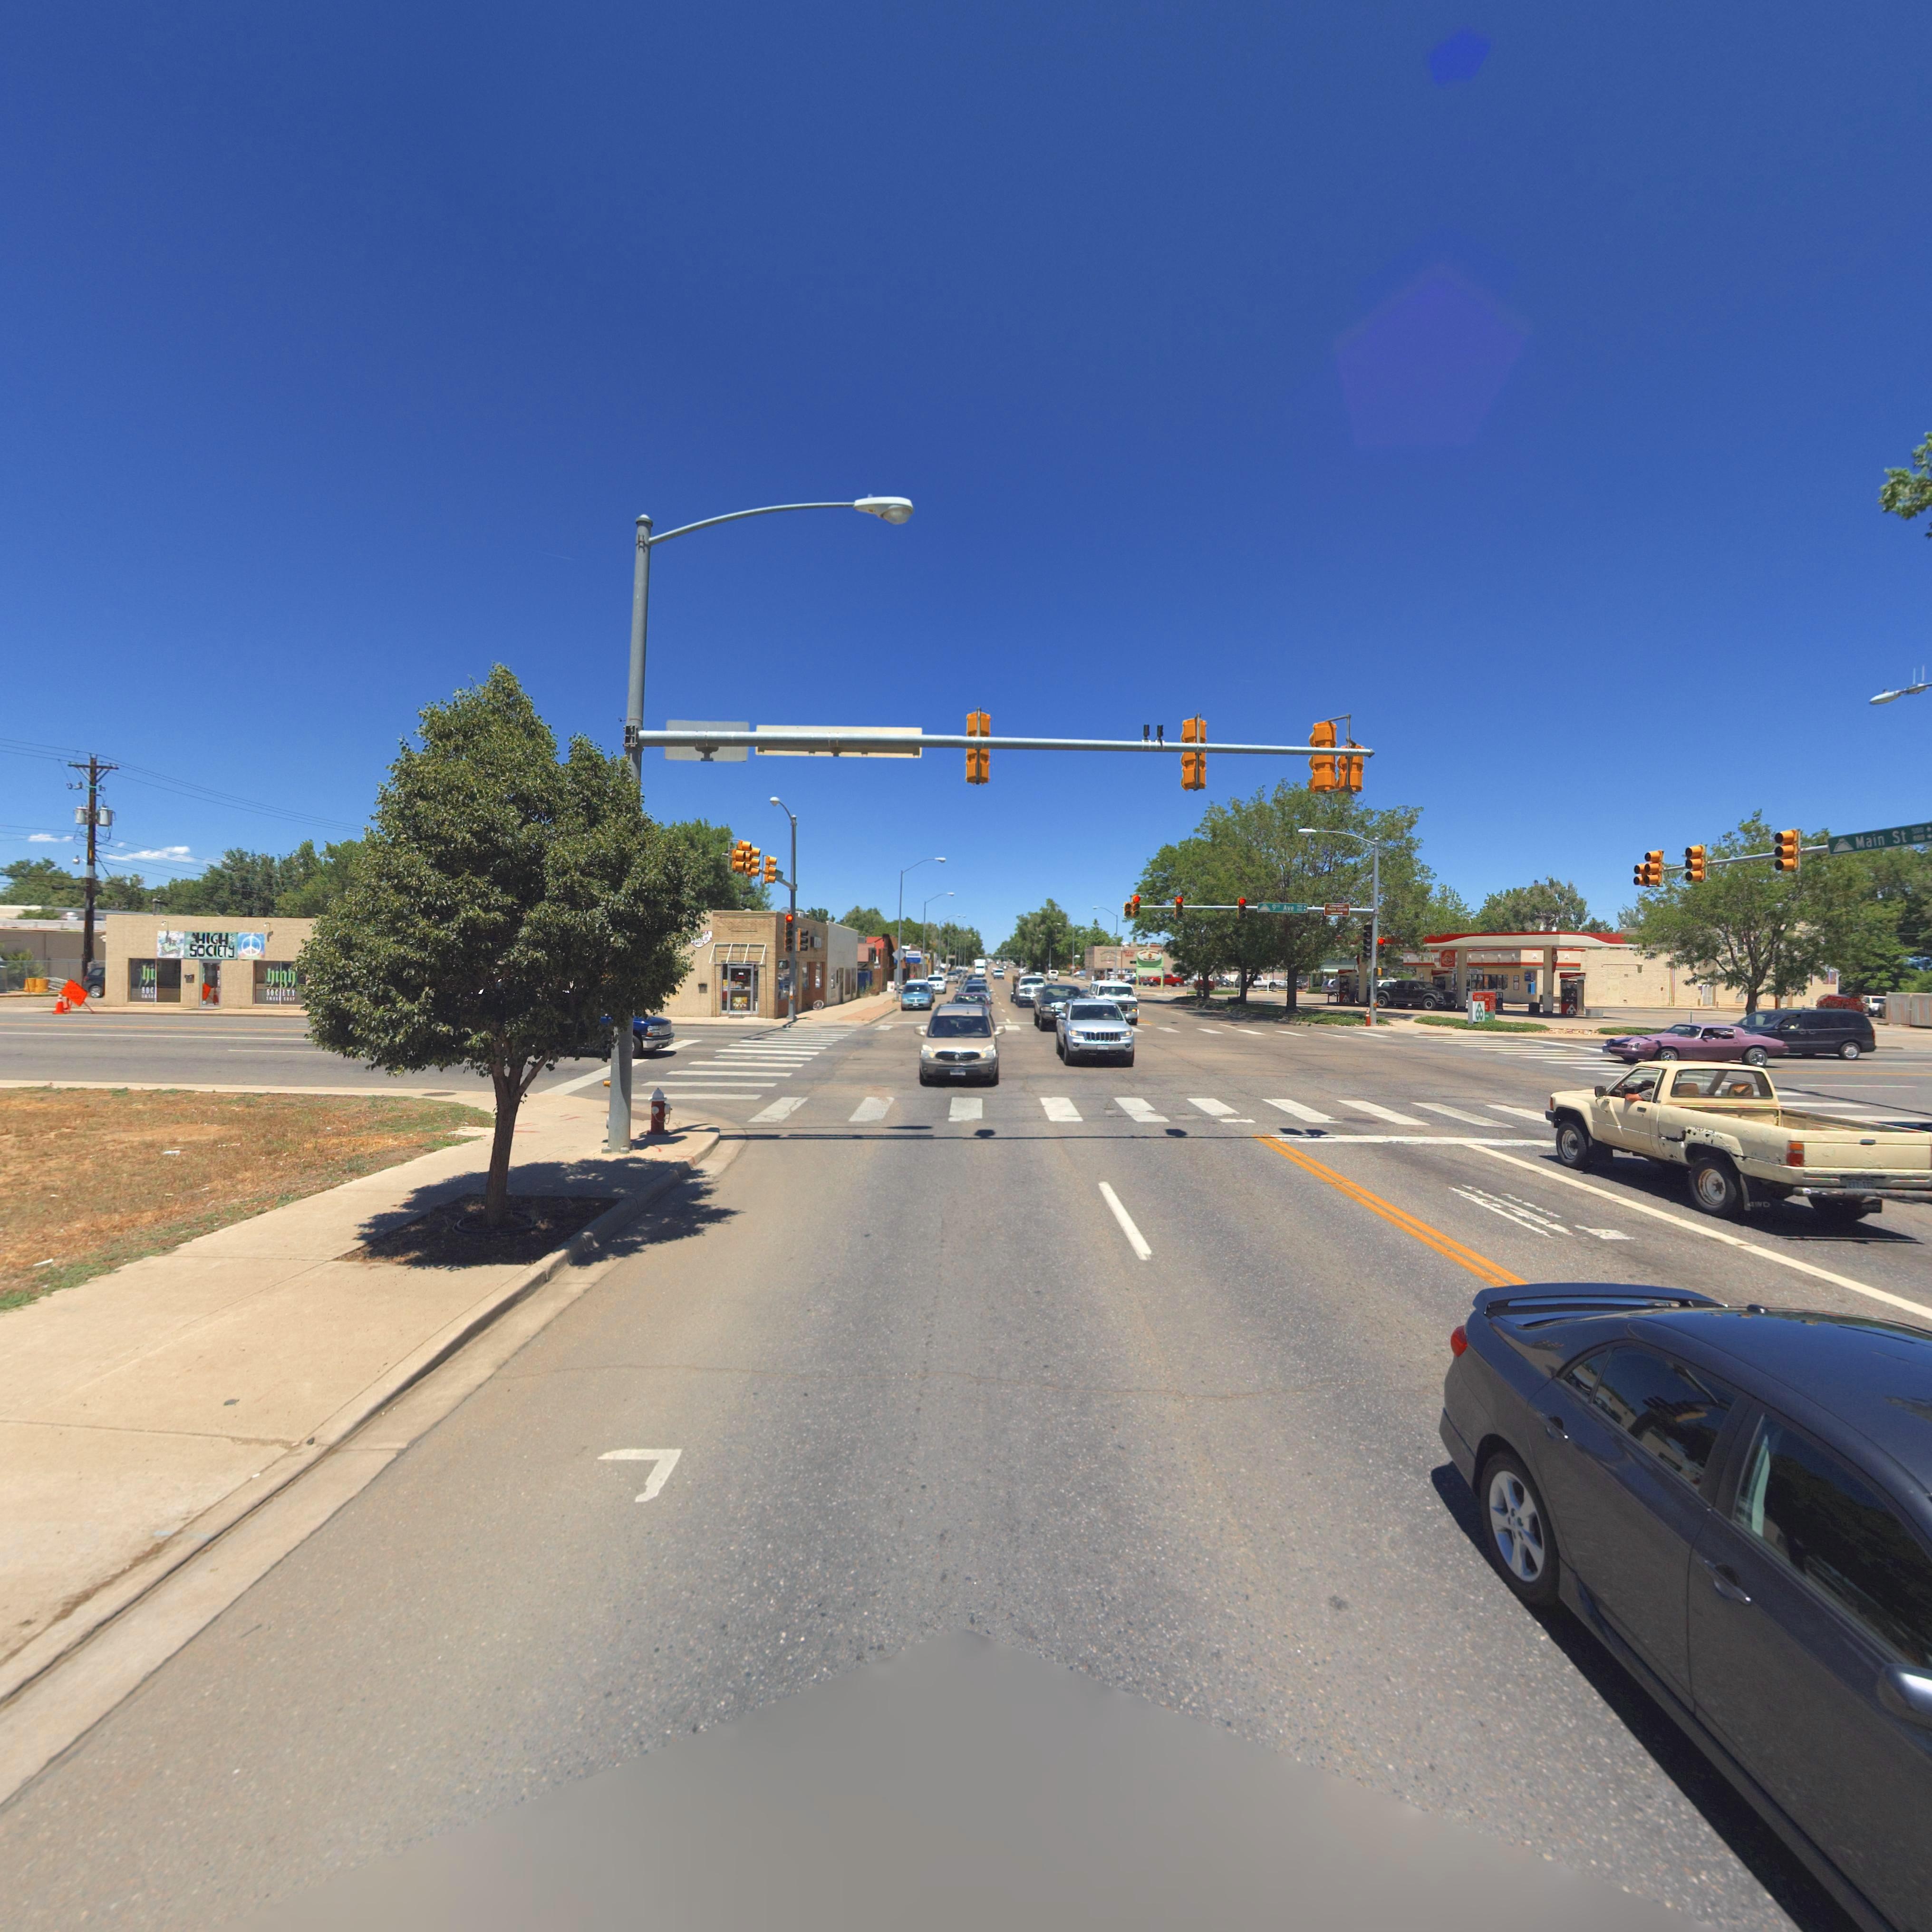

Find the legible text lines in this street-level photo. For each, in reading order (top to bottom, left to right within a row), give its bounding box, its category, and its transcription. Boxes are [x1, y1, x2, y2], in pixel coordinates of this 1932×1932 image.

[1911, 827, 1923, 834] StreetNumberRange: 500
[1855, 830, 1908, 849] StreetName: Main St
[1913, 834, 1924, 841] StreetNumberRange: 800
[1272, 904, 1294, 911] StreetName: 9th Ave
[1297, 905, 1303, 908] StreetNumberRange: *00
[1296, 908, 1306, 911] StreetNumberRange: 100*->
[704, 930, 709, 936] BusinessName: IA
[195, 932, 228, 945] BusinessName: HIGH
[701, 936, 713, 941] BusinessName: LICA
[692, 941, 705, 945] BusinessName: ANITA
[190, 944, 234, 957] BusinessName: SOCIETY
[142, 964, 154, 984] BusinessName: hi
[266, 968, 295, 987] BusinessName: high
[141, 986, 154, 994] BusinessName: SOC
[266, 988, 295, 996] BusinessName: SOC*ETY